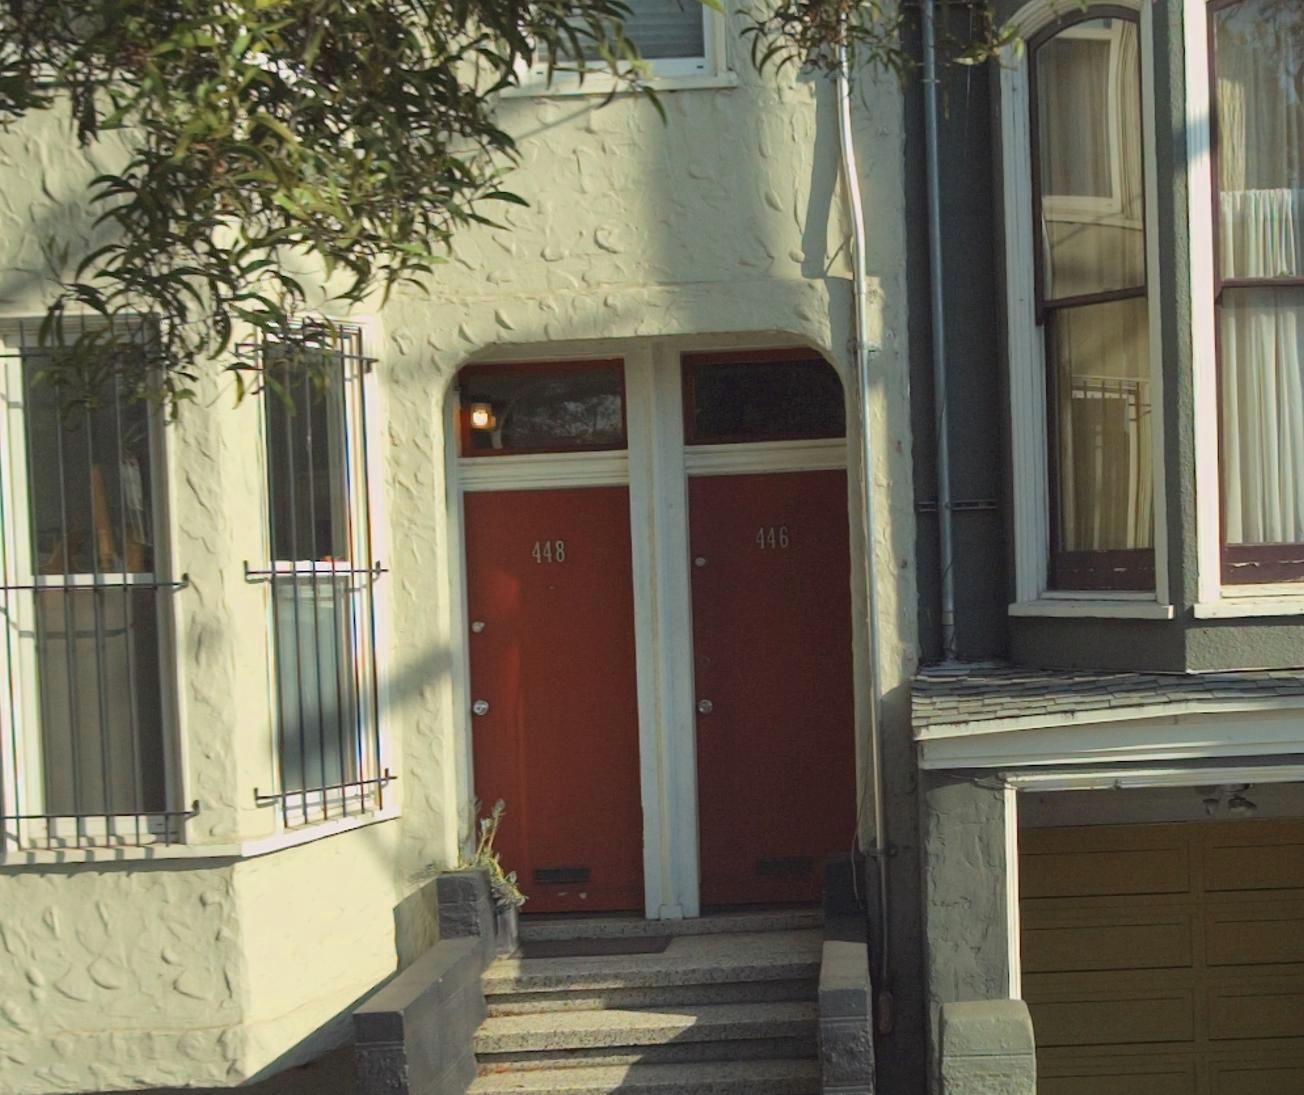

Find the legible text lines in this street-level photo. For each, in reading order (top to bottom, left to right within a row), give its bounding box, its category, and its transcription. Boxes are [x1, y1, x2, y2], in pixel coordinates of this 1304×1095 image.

[531, 536, 567, 566] StreetNumber: 448
[752, 524, 790, 551] StreetNumber: 446